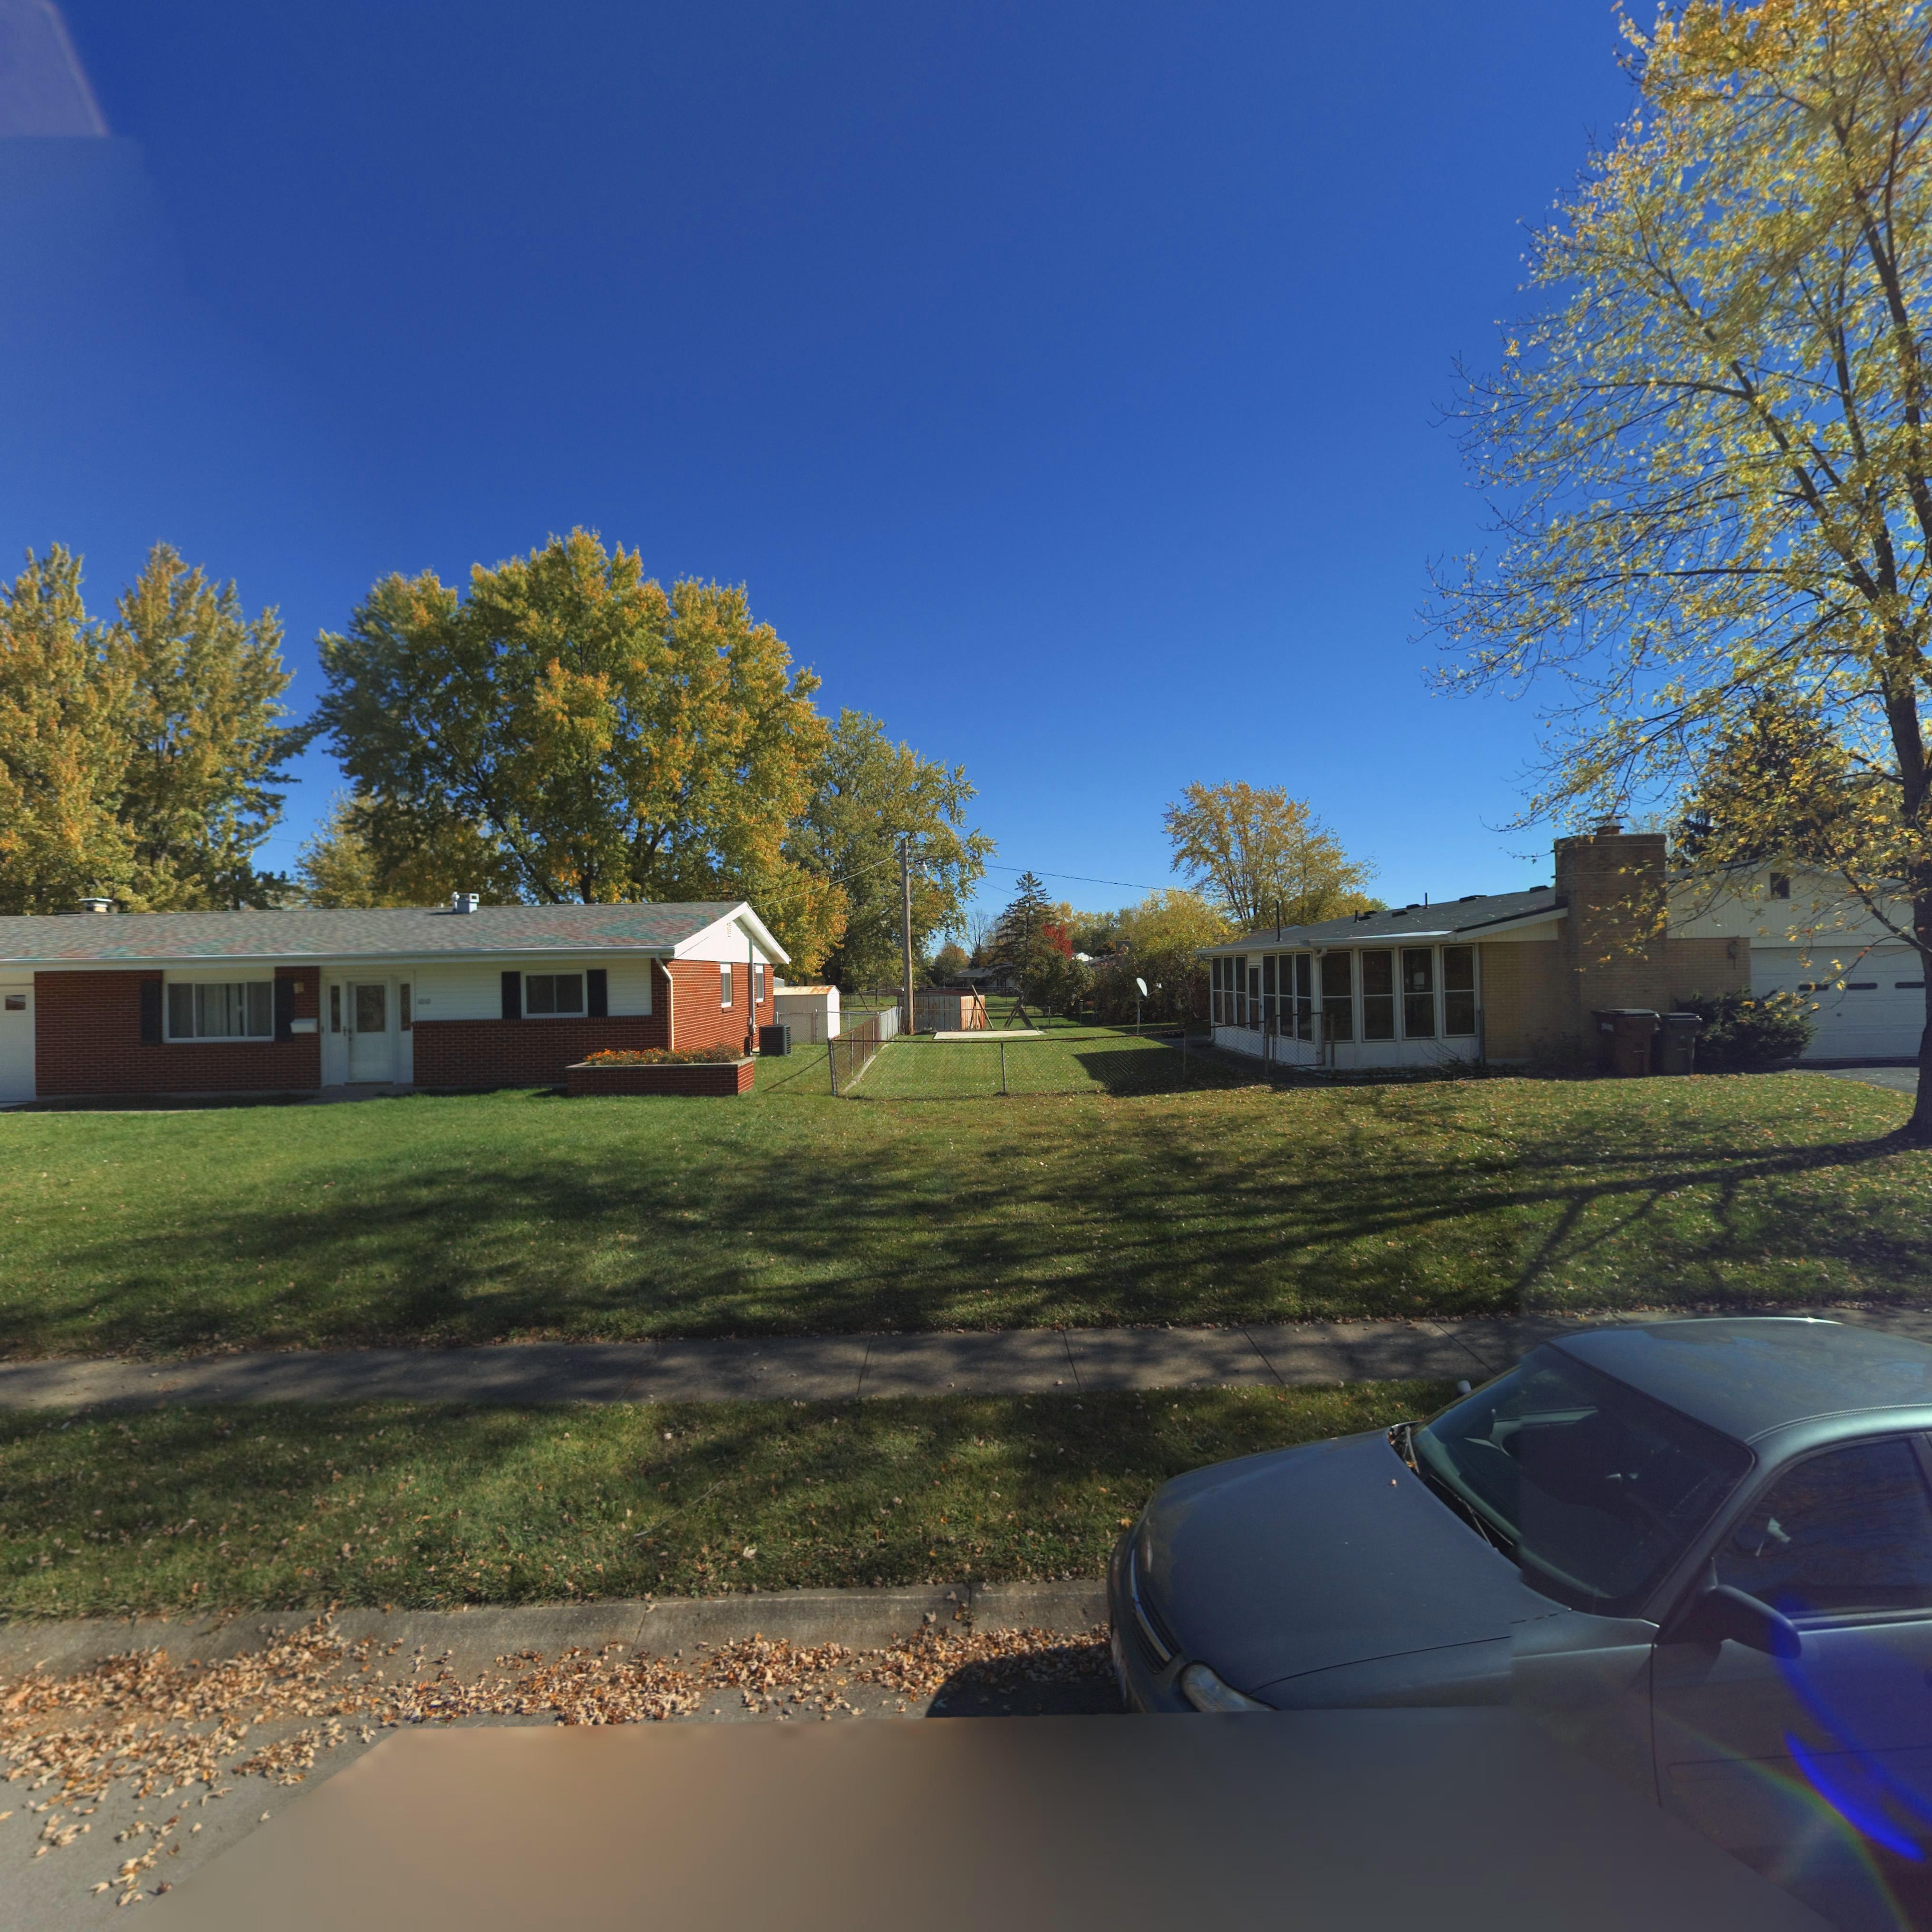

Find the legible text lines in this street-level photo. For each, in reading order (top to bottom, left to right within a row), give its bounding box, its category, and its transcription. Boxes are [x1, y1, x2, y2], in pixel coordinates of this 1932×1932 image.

[417, 997, 431, 1005] StreetNumber: 1010